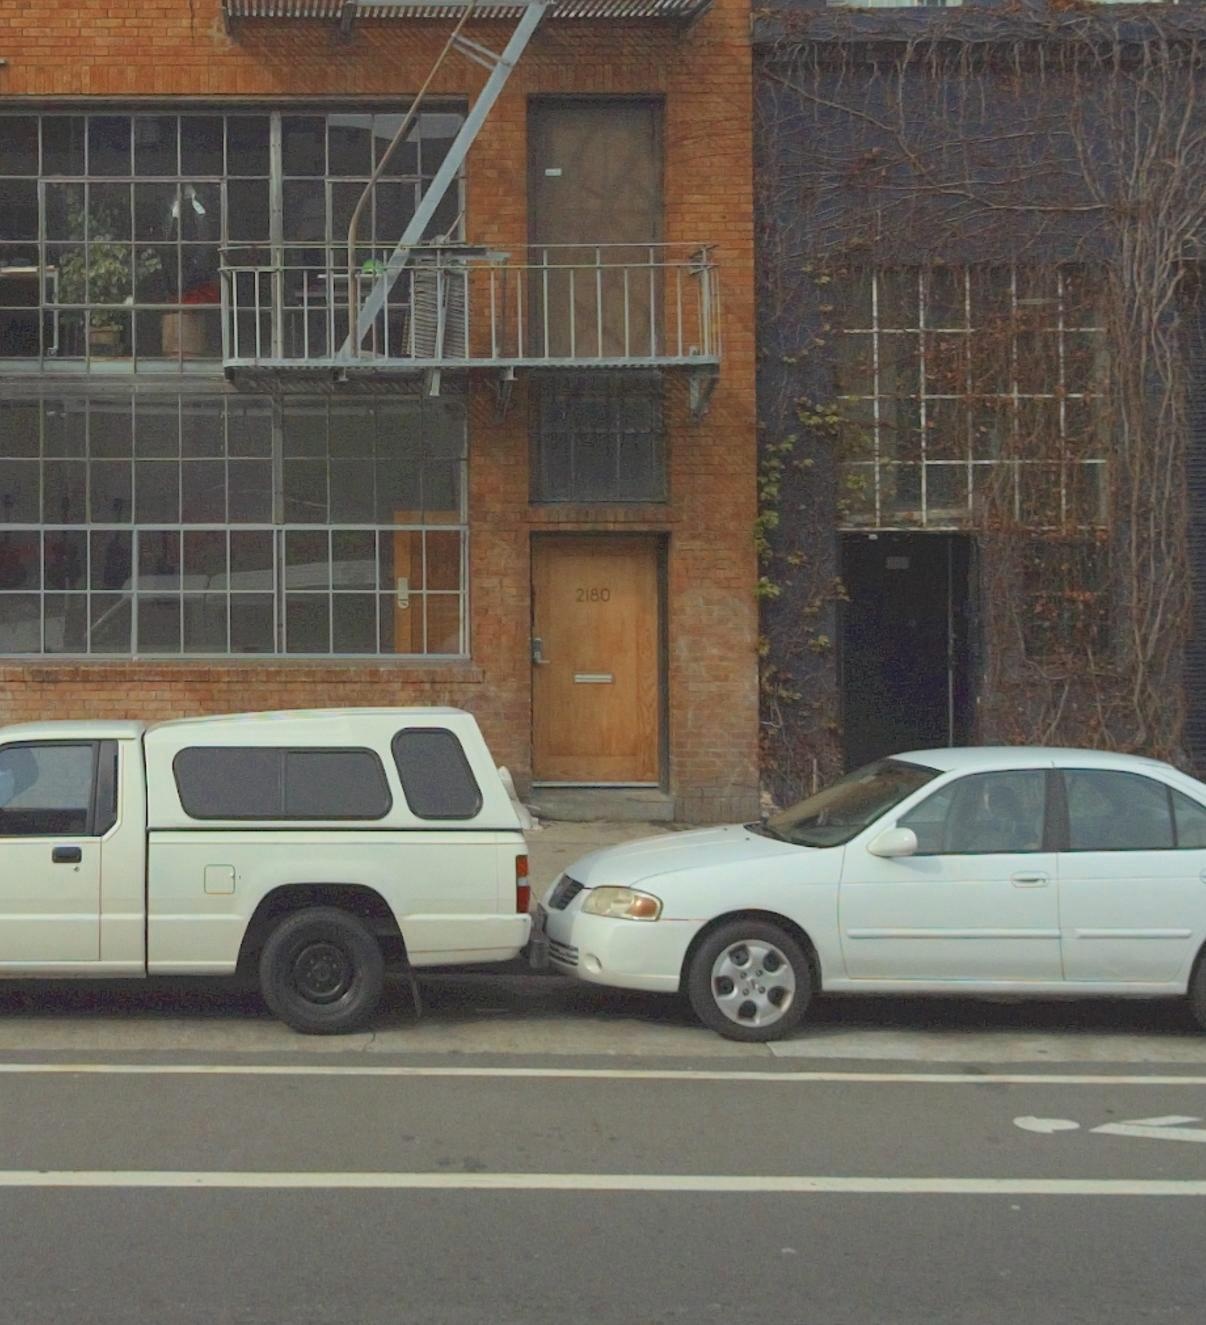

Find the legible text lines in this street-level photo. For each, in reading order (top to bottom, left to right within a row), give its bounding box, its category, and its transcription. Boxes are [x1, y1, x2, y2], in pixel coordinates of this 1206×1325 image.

[575, 586, 613, 604] StreetNumber: 2180